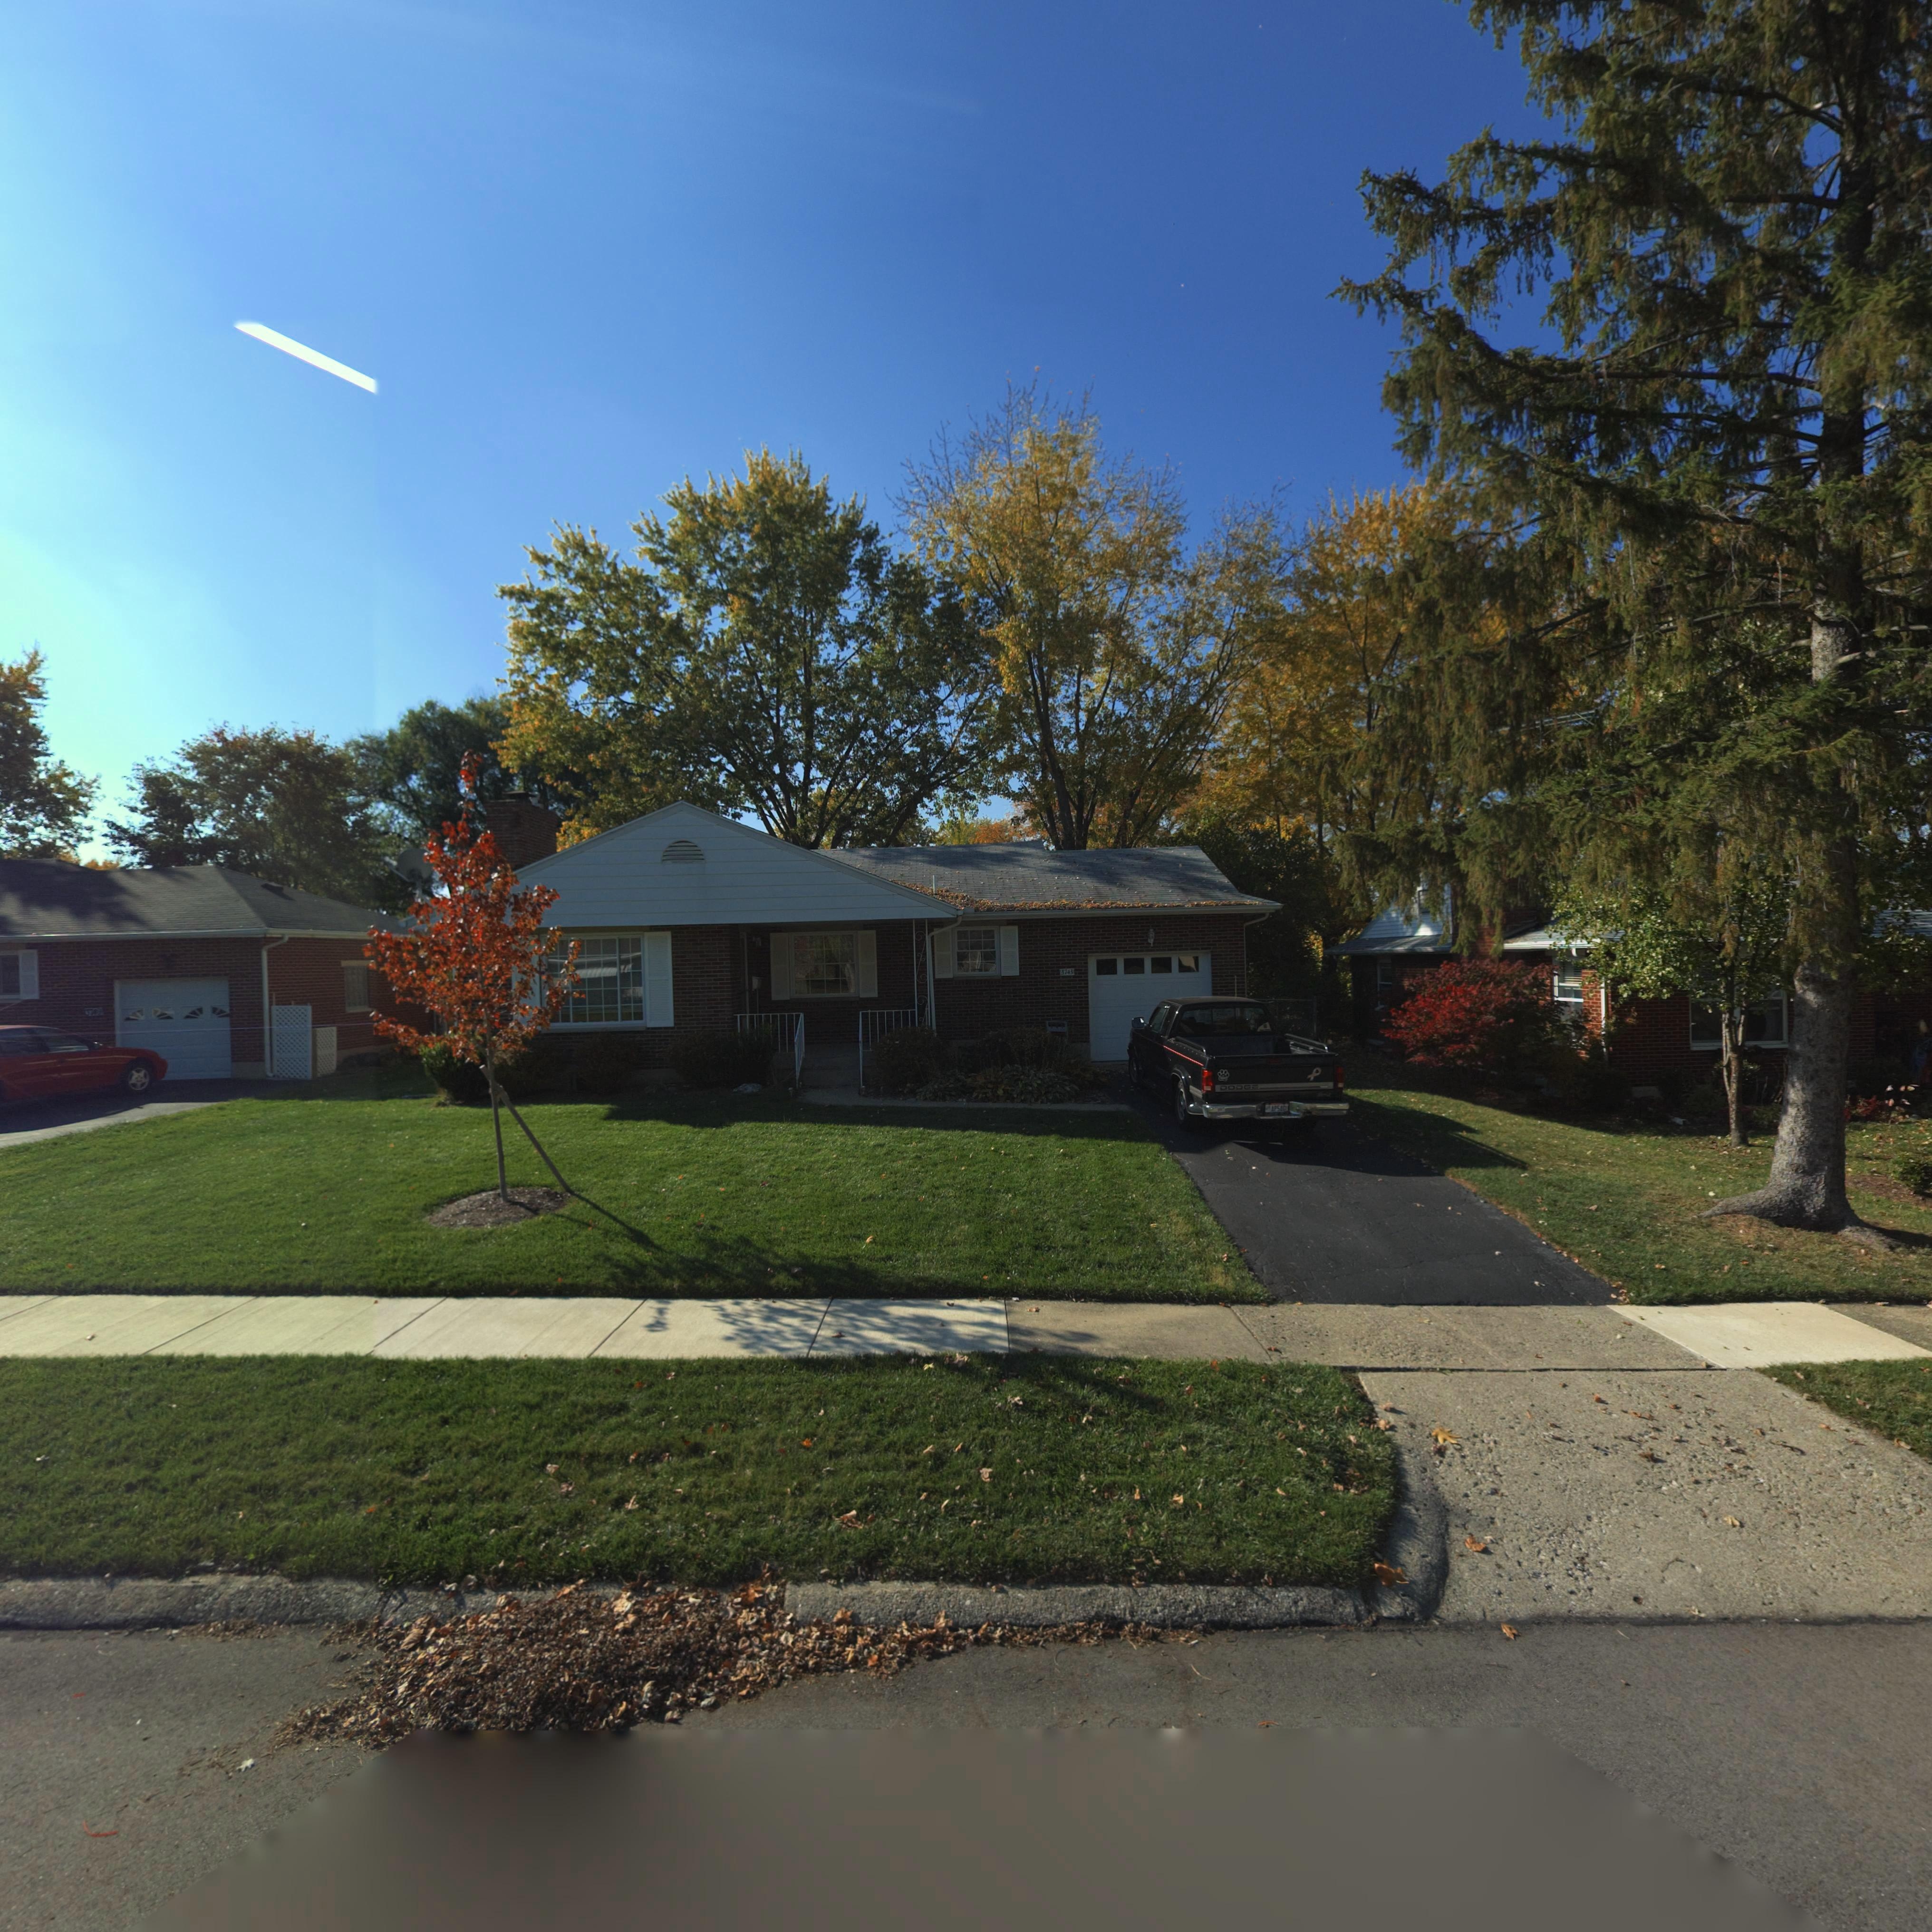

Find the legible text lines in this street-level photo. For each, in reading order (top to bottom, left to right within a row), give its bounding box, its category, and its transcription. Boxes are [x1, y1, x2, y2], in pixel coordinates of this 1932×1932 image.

[1059, 968, 1074, 976] StreetNumber: 3743
[1219, 1083, 1259, 1092] None: DODGE
[1270, 1104, 1288, 1113] None: AP54**